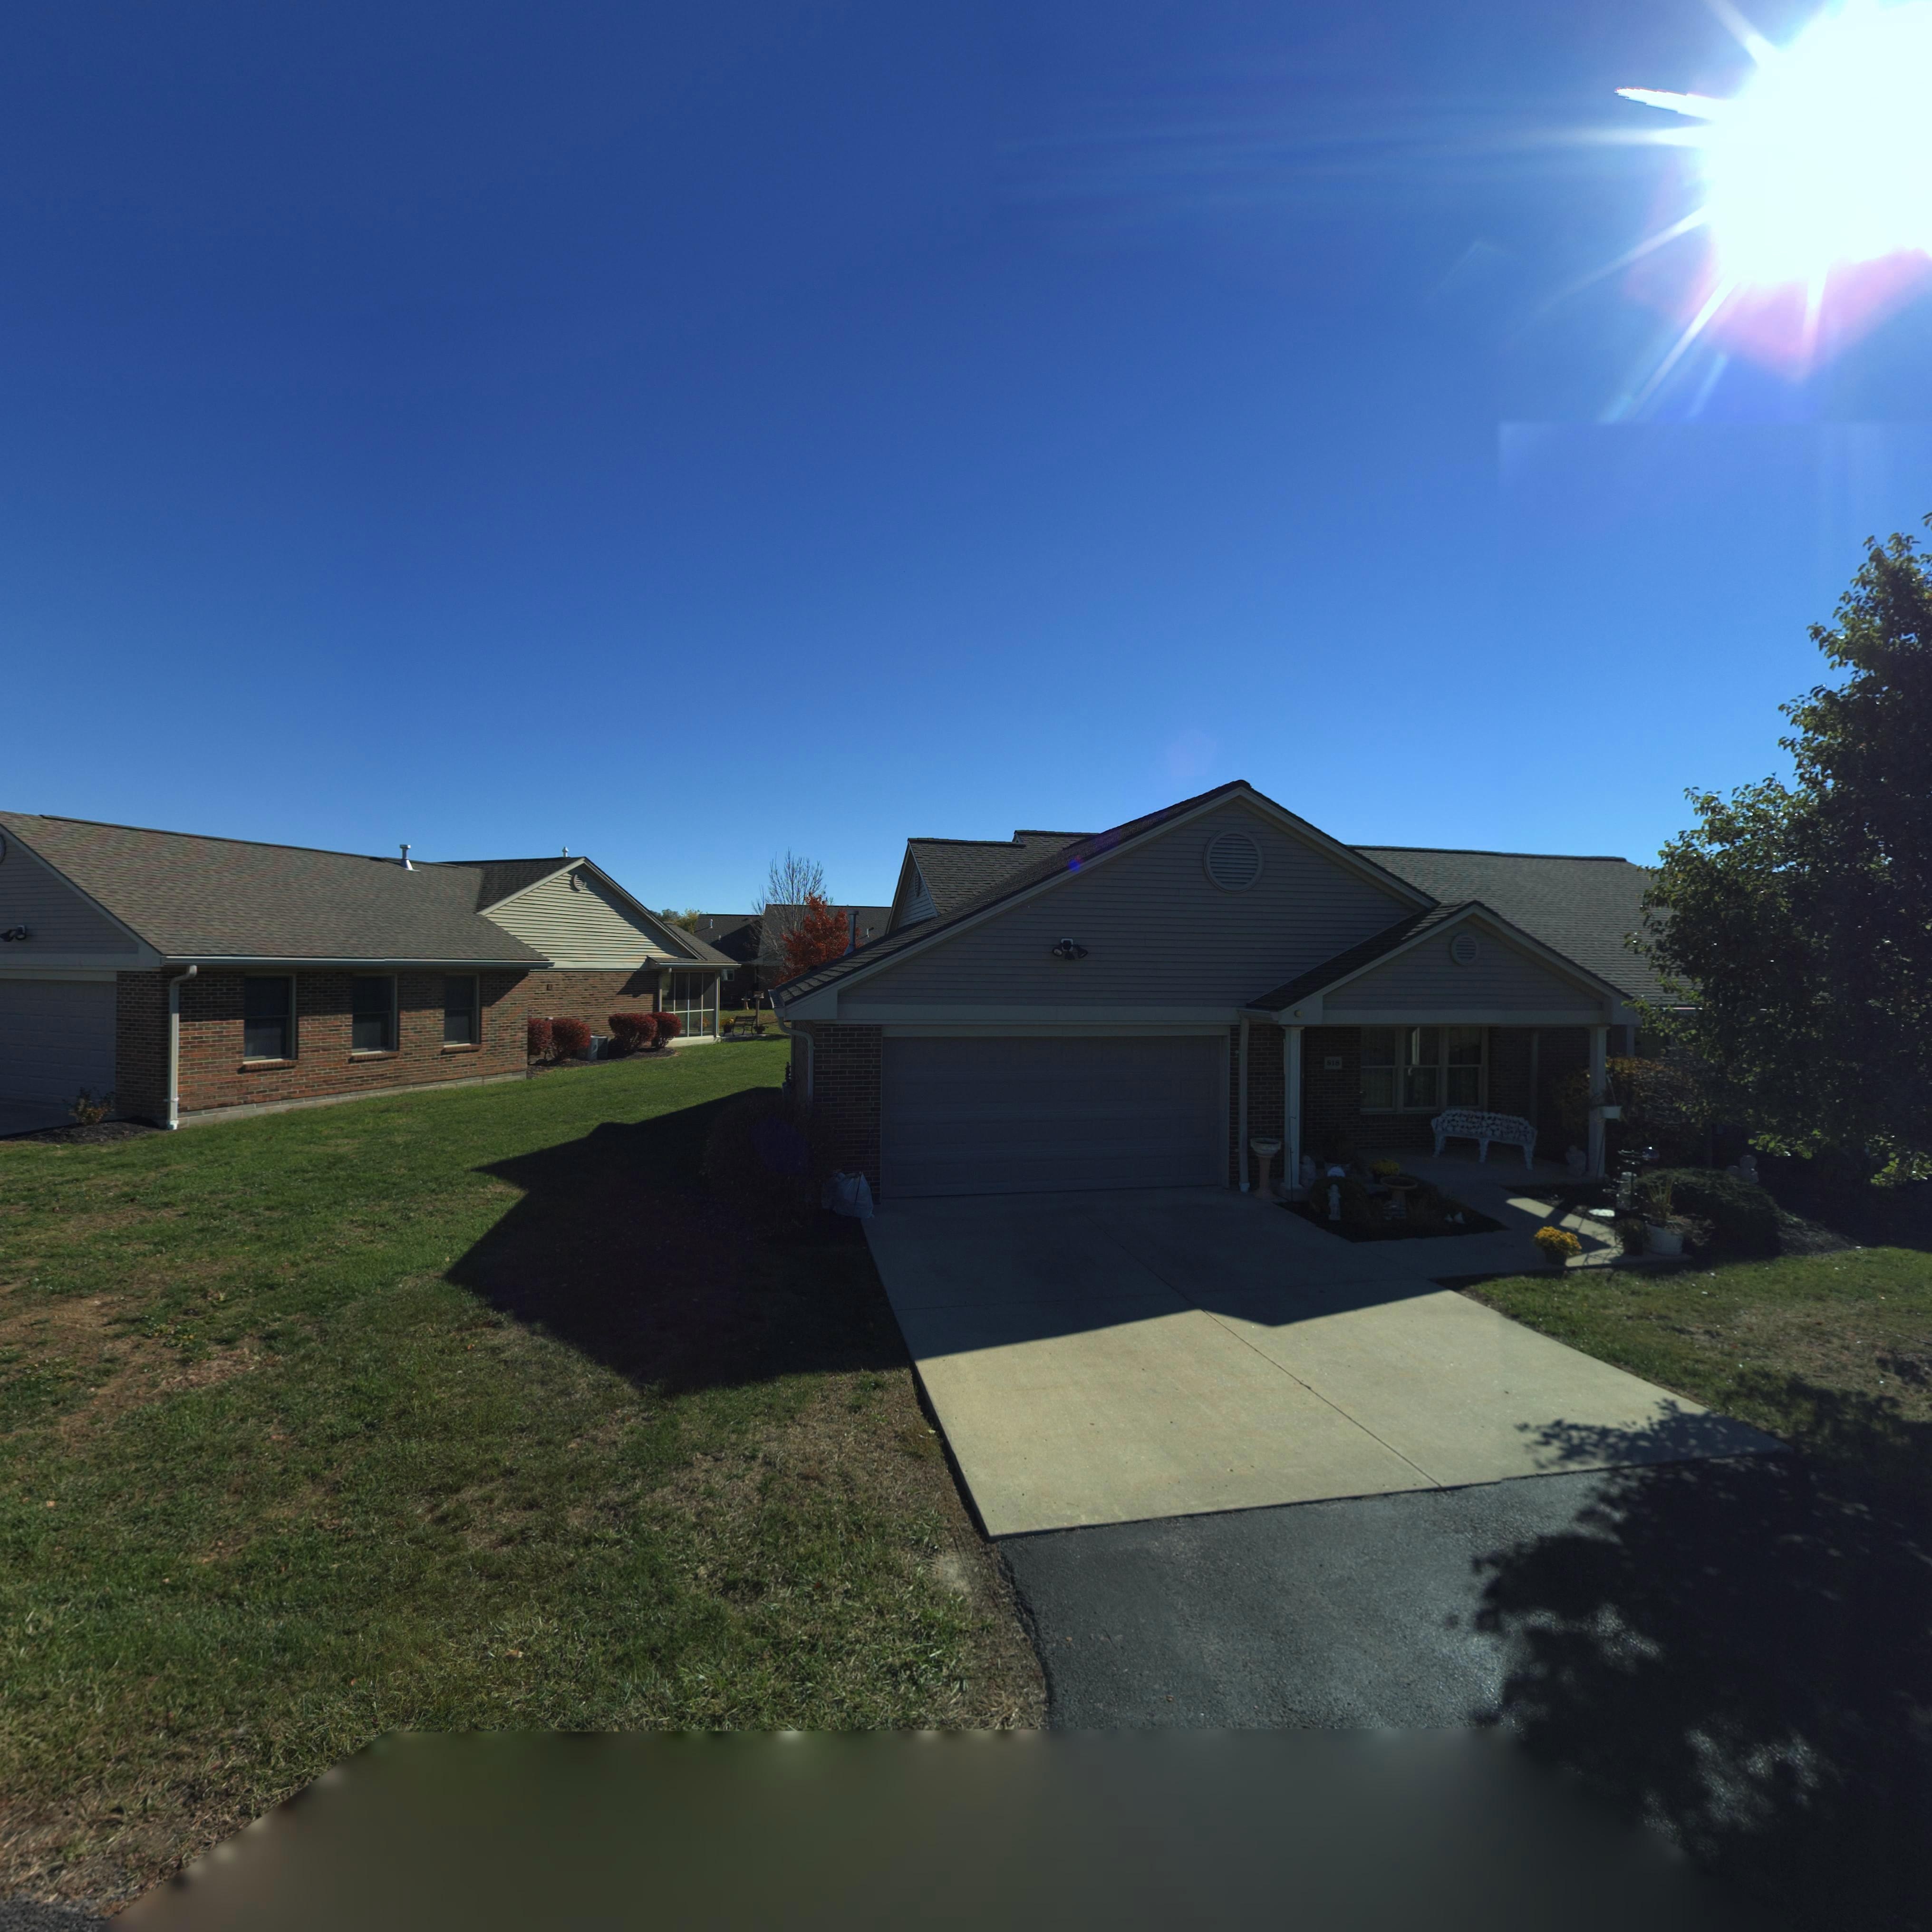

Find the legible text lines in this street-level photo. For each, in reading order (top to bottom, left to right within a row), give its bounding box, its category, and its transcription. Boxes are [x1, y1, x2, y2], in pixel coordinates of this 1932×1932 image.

[1326, 1059, 1340, 1066] StreetNumber: 818